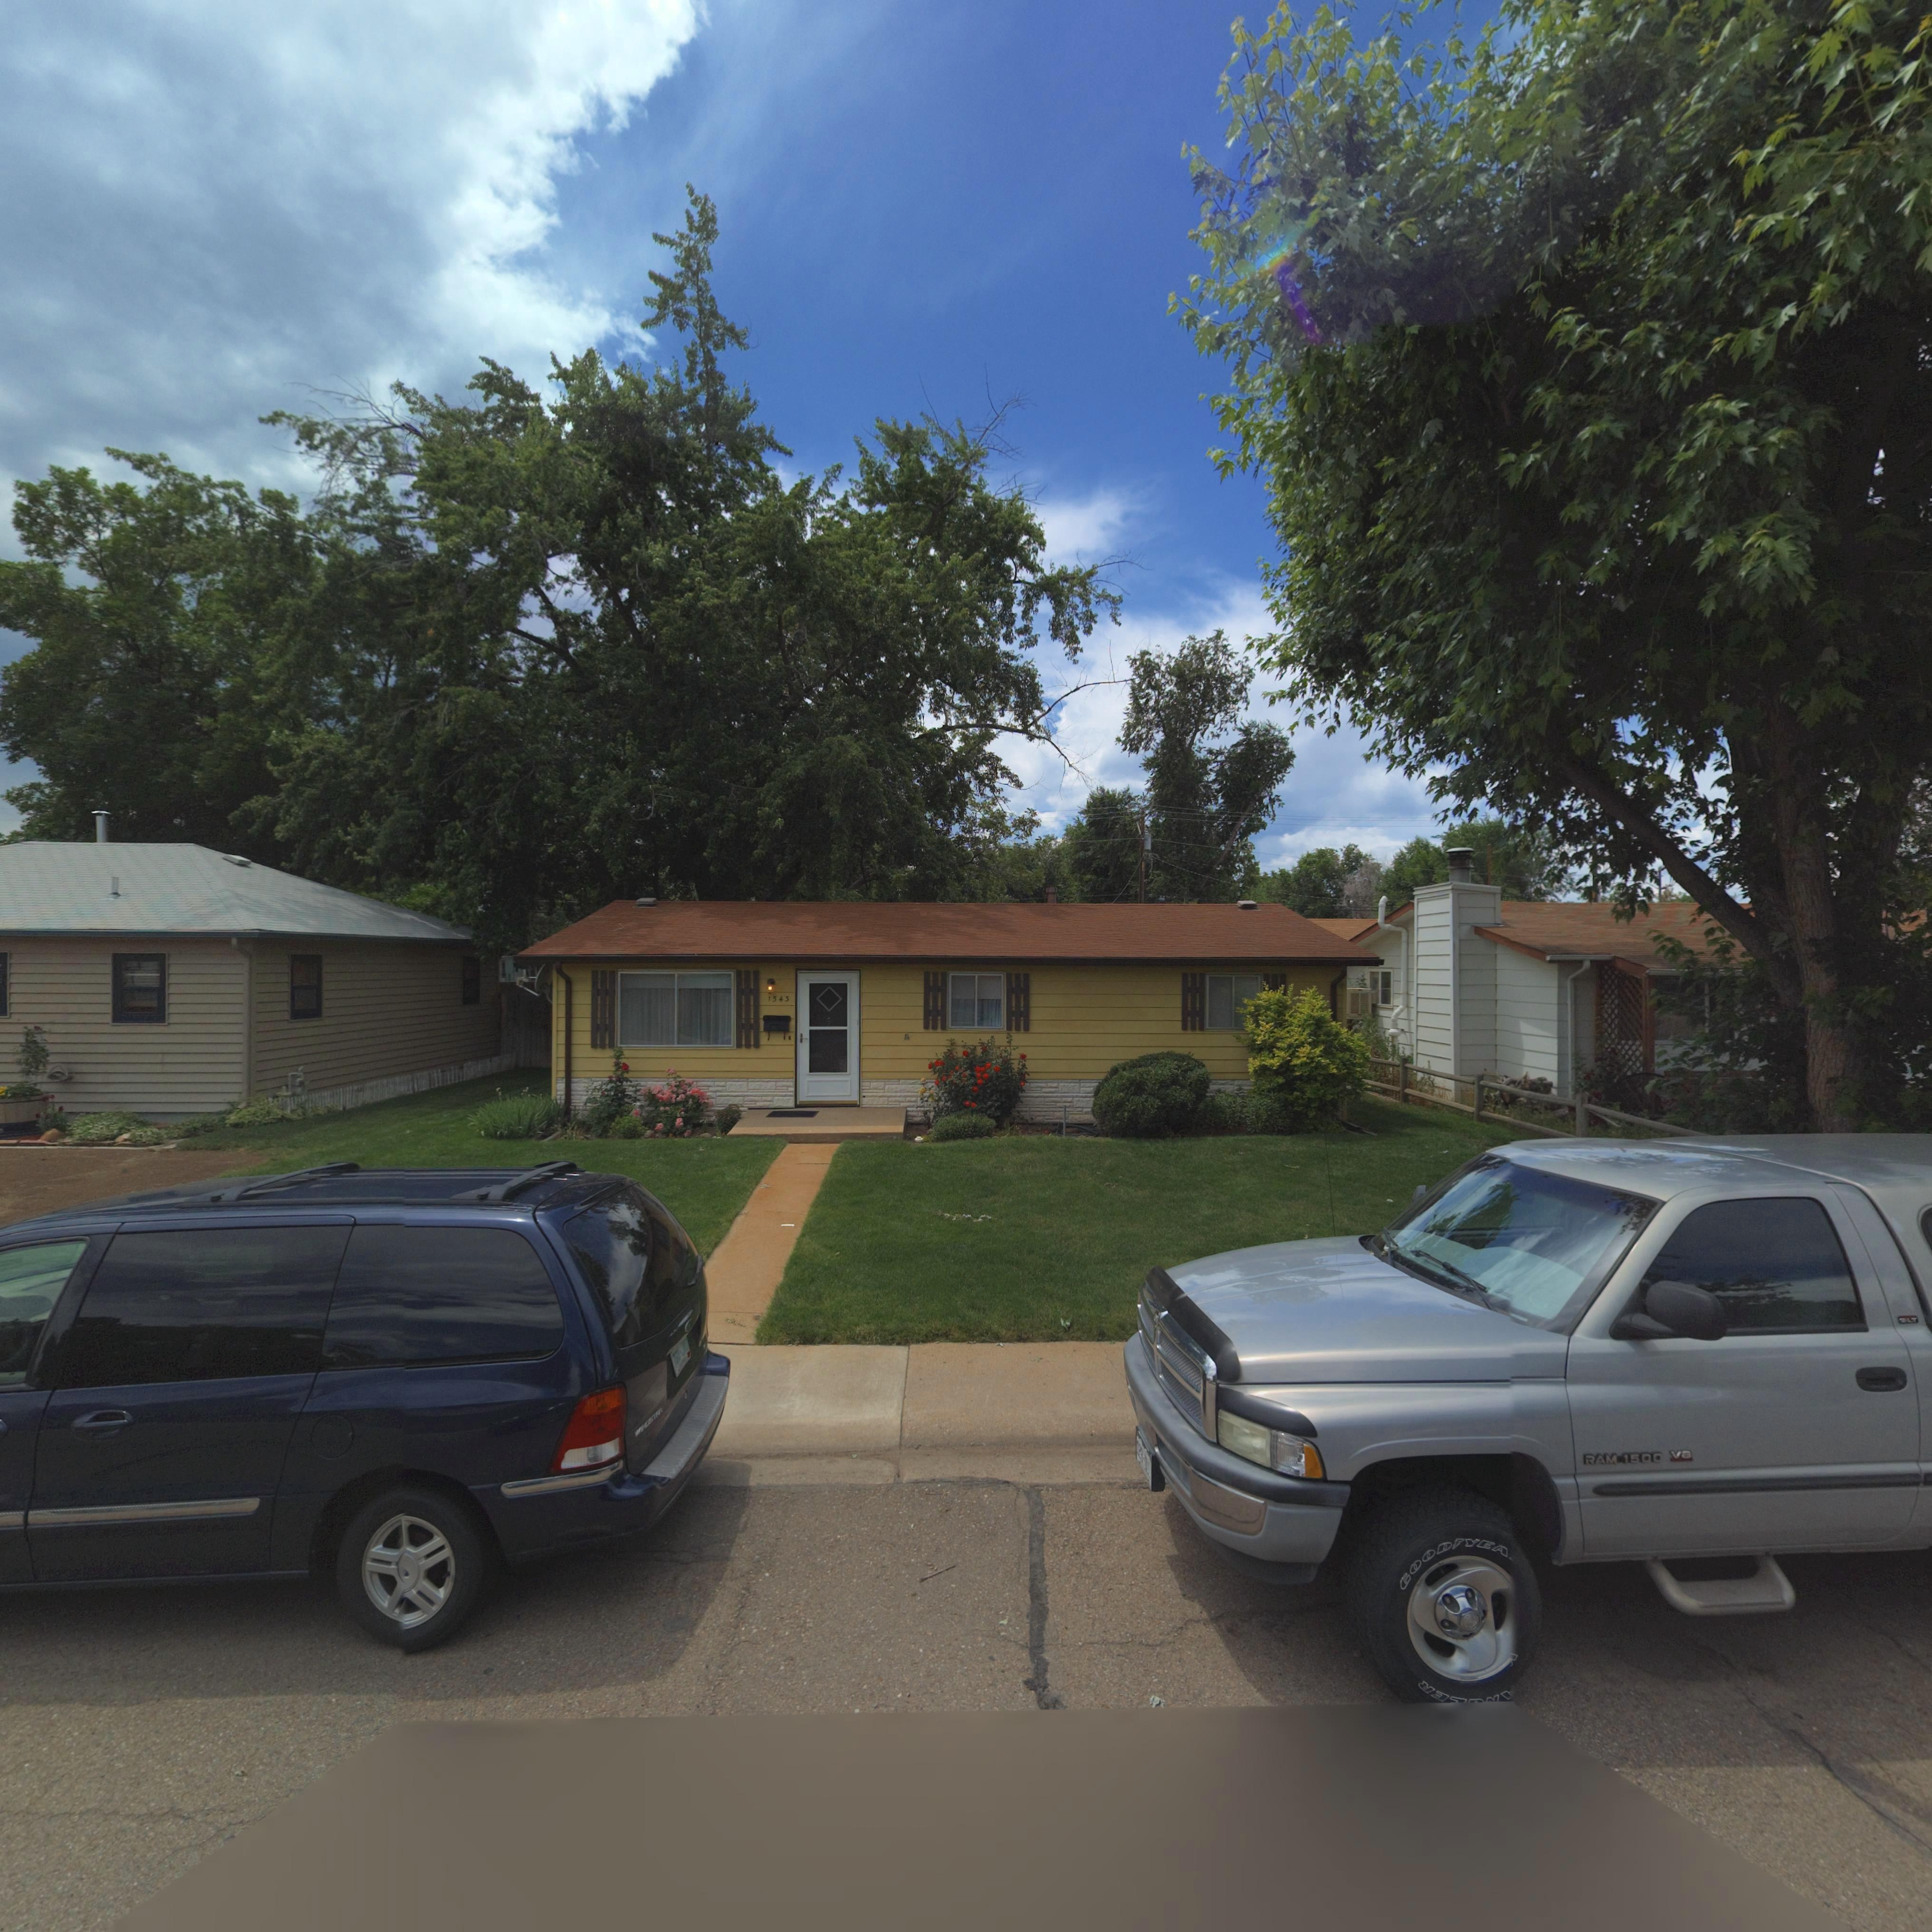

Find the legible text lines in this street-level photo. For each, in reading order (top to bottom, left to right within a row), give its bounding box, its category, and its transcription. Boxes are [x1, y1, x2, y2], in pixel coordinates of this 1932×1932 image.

[768, 995, 789, 1002] StreetNumber: 1545